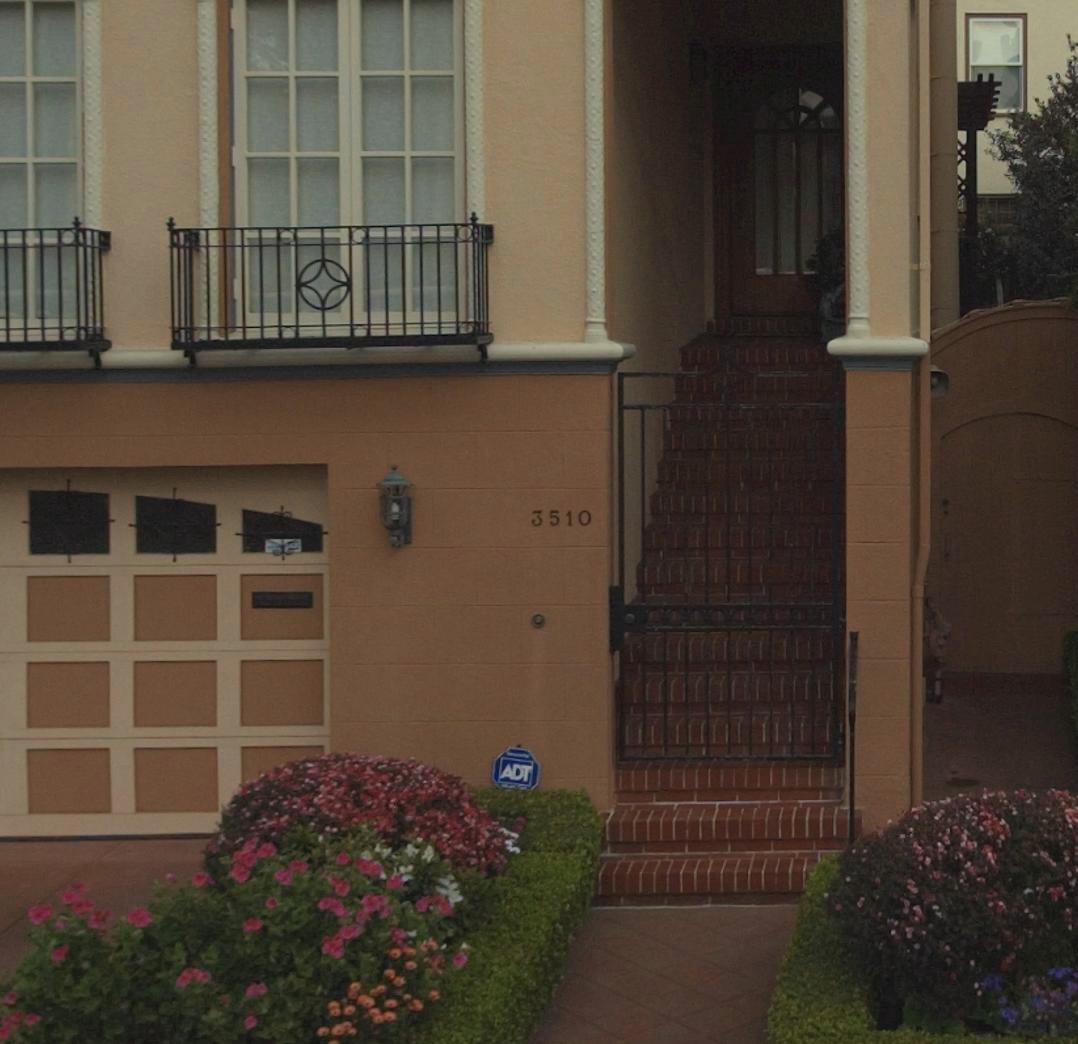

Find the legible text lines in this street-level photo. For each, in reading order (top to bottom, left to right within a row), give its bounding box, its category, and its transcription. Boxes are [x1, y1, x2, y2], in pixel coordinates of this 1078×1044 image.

[528, 505, 595, 532] StreetNumber: 3510
[497, 756, 537, 787] None: ADT